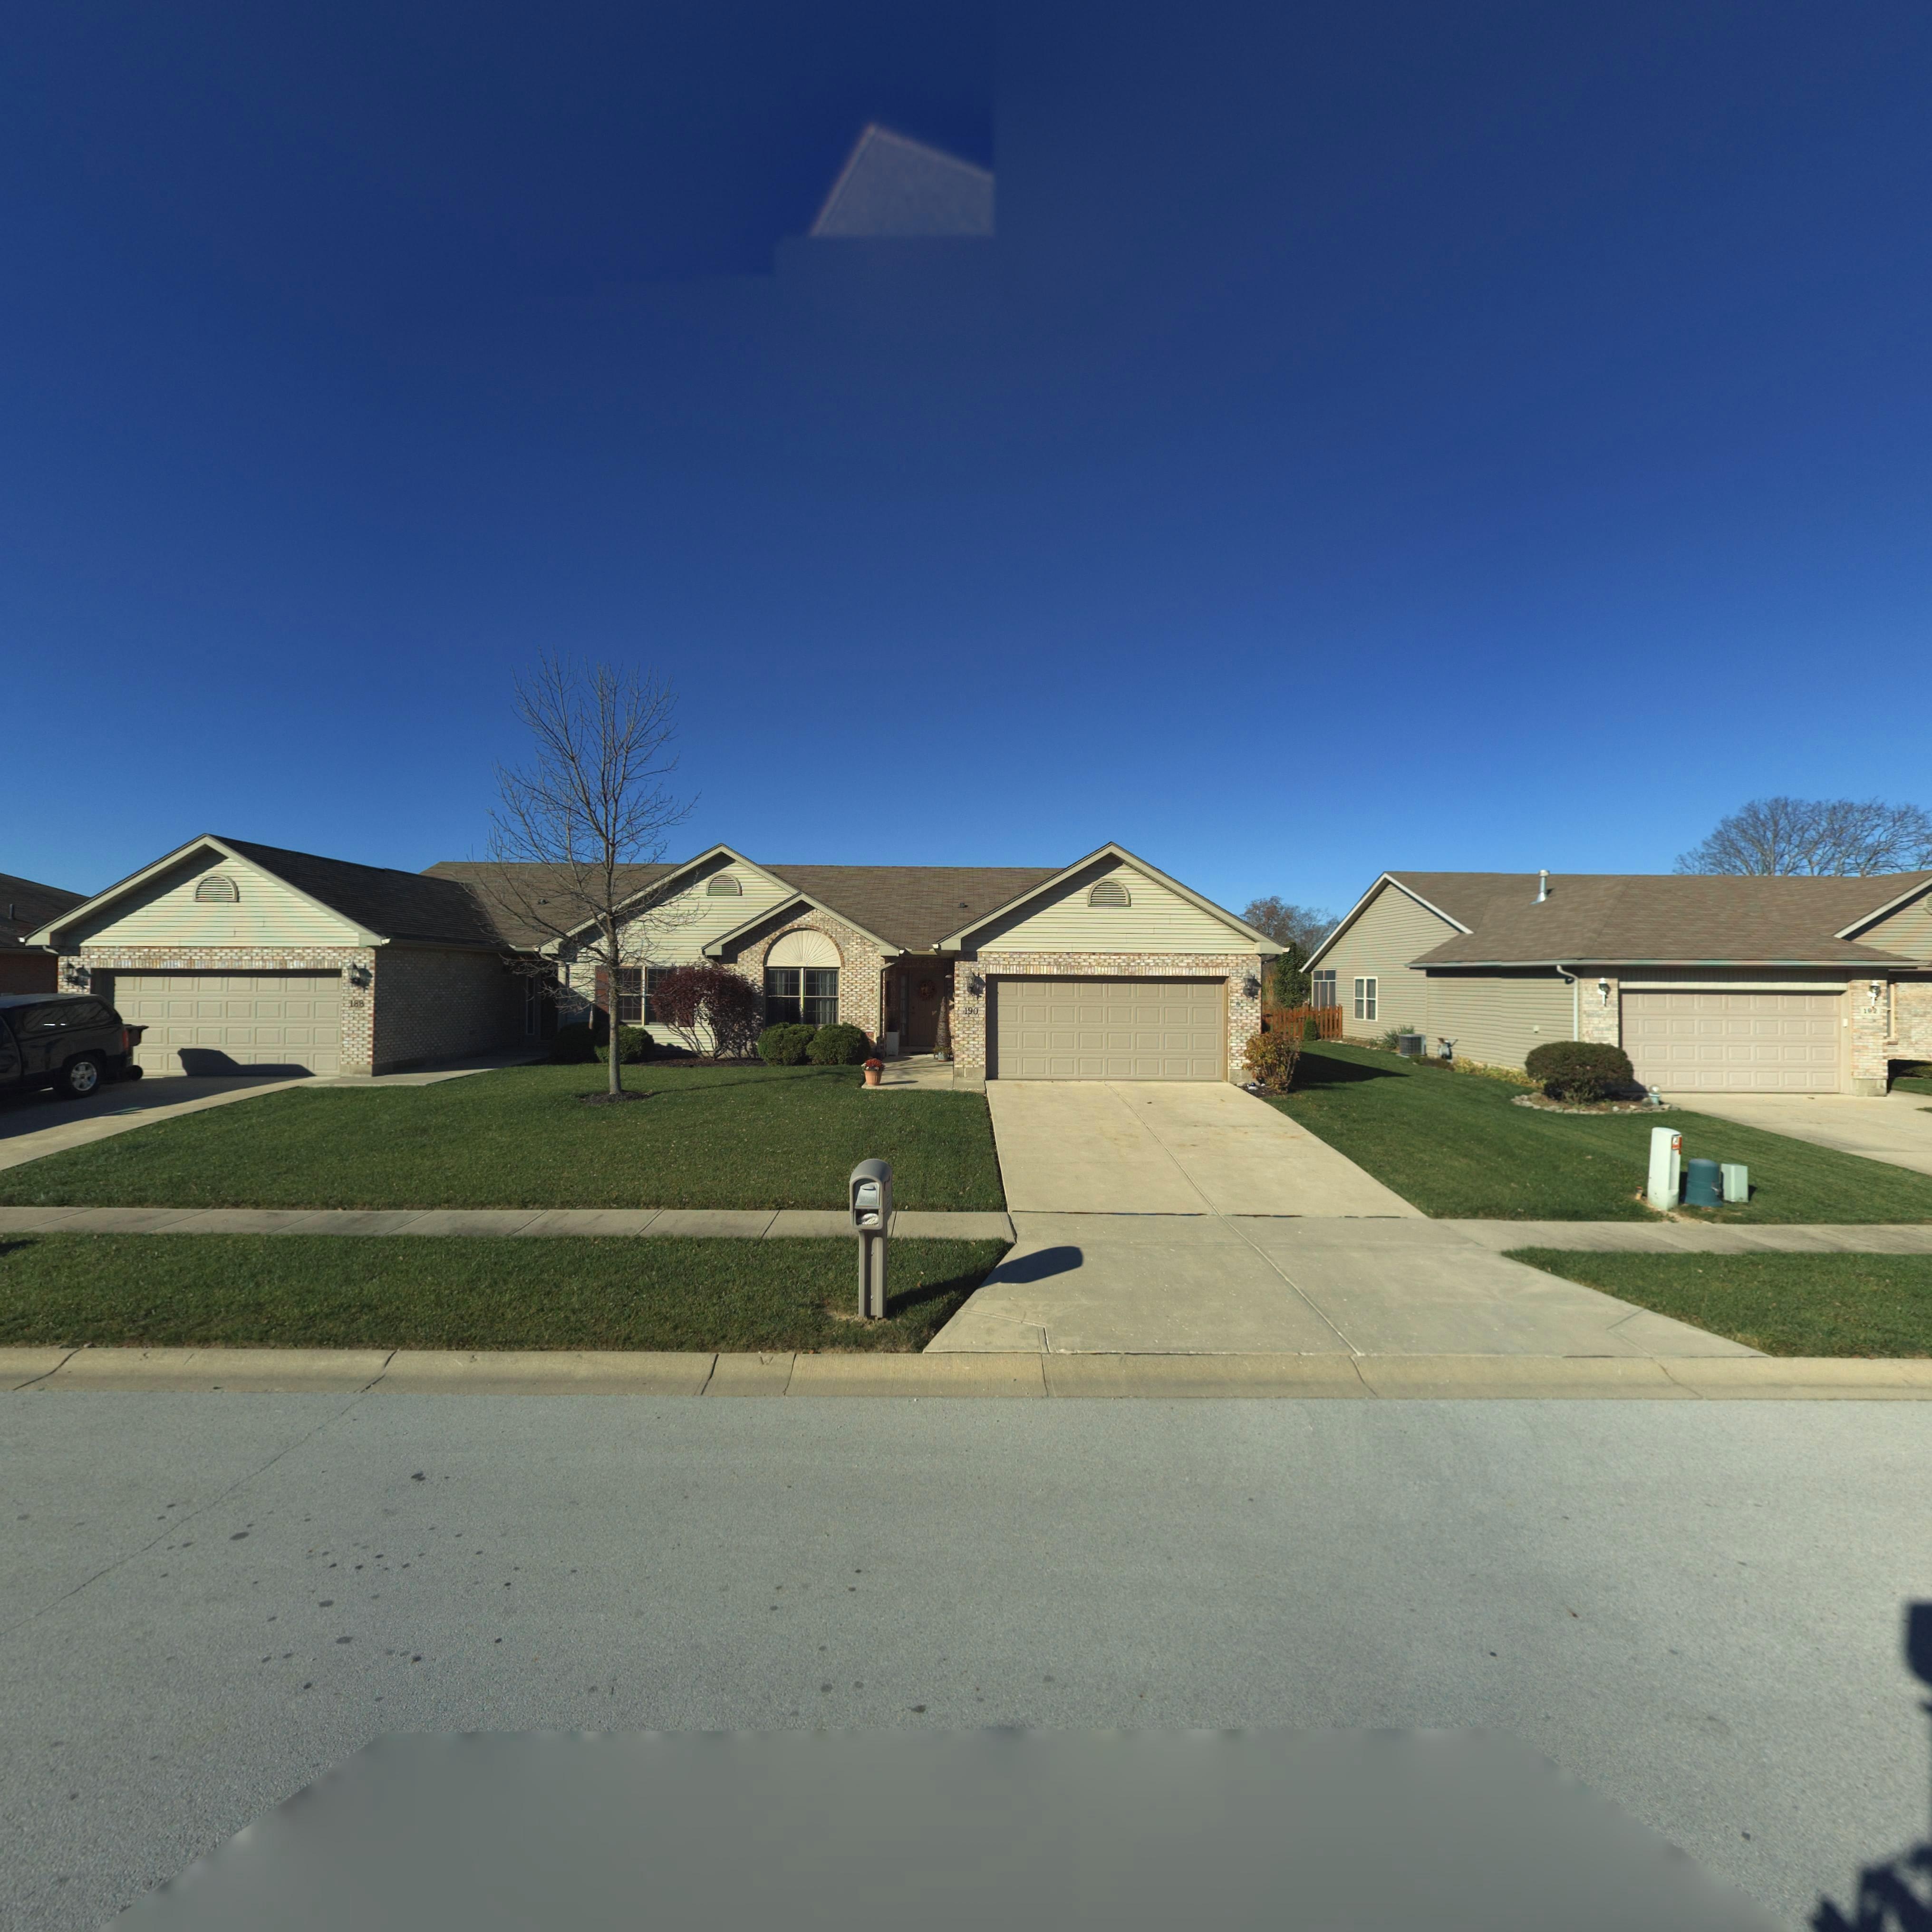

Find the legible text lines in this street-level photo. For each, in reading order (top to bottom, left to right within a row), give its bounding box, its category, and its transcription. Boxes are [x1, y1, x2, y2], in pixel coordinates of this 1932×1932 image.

[350, 999, 365, 1008] StreetNumber: 188
[964, 1007, 979, 1015] StreetNumber: 190